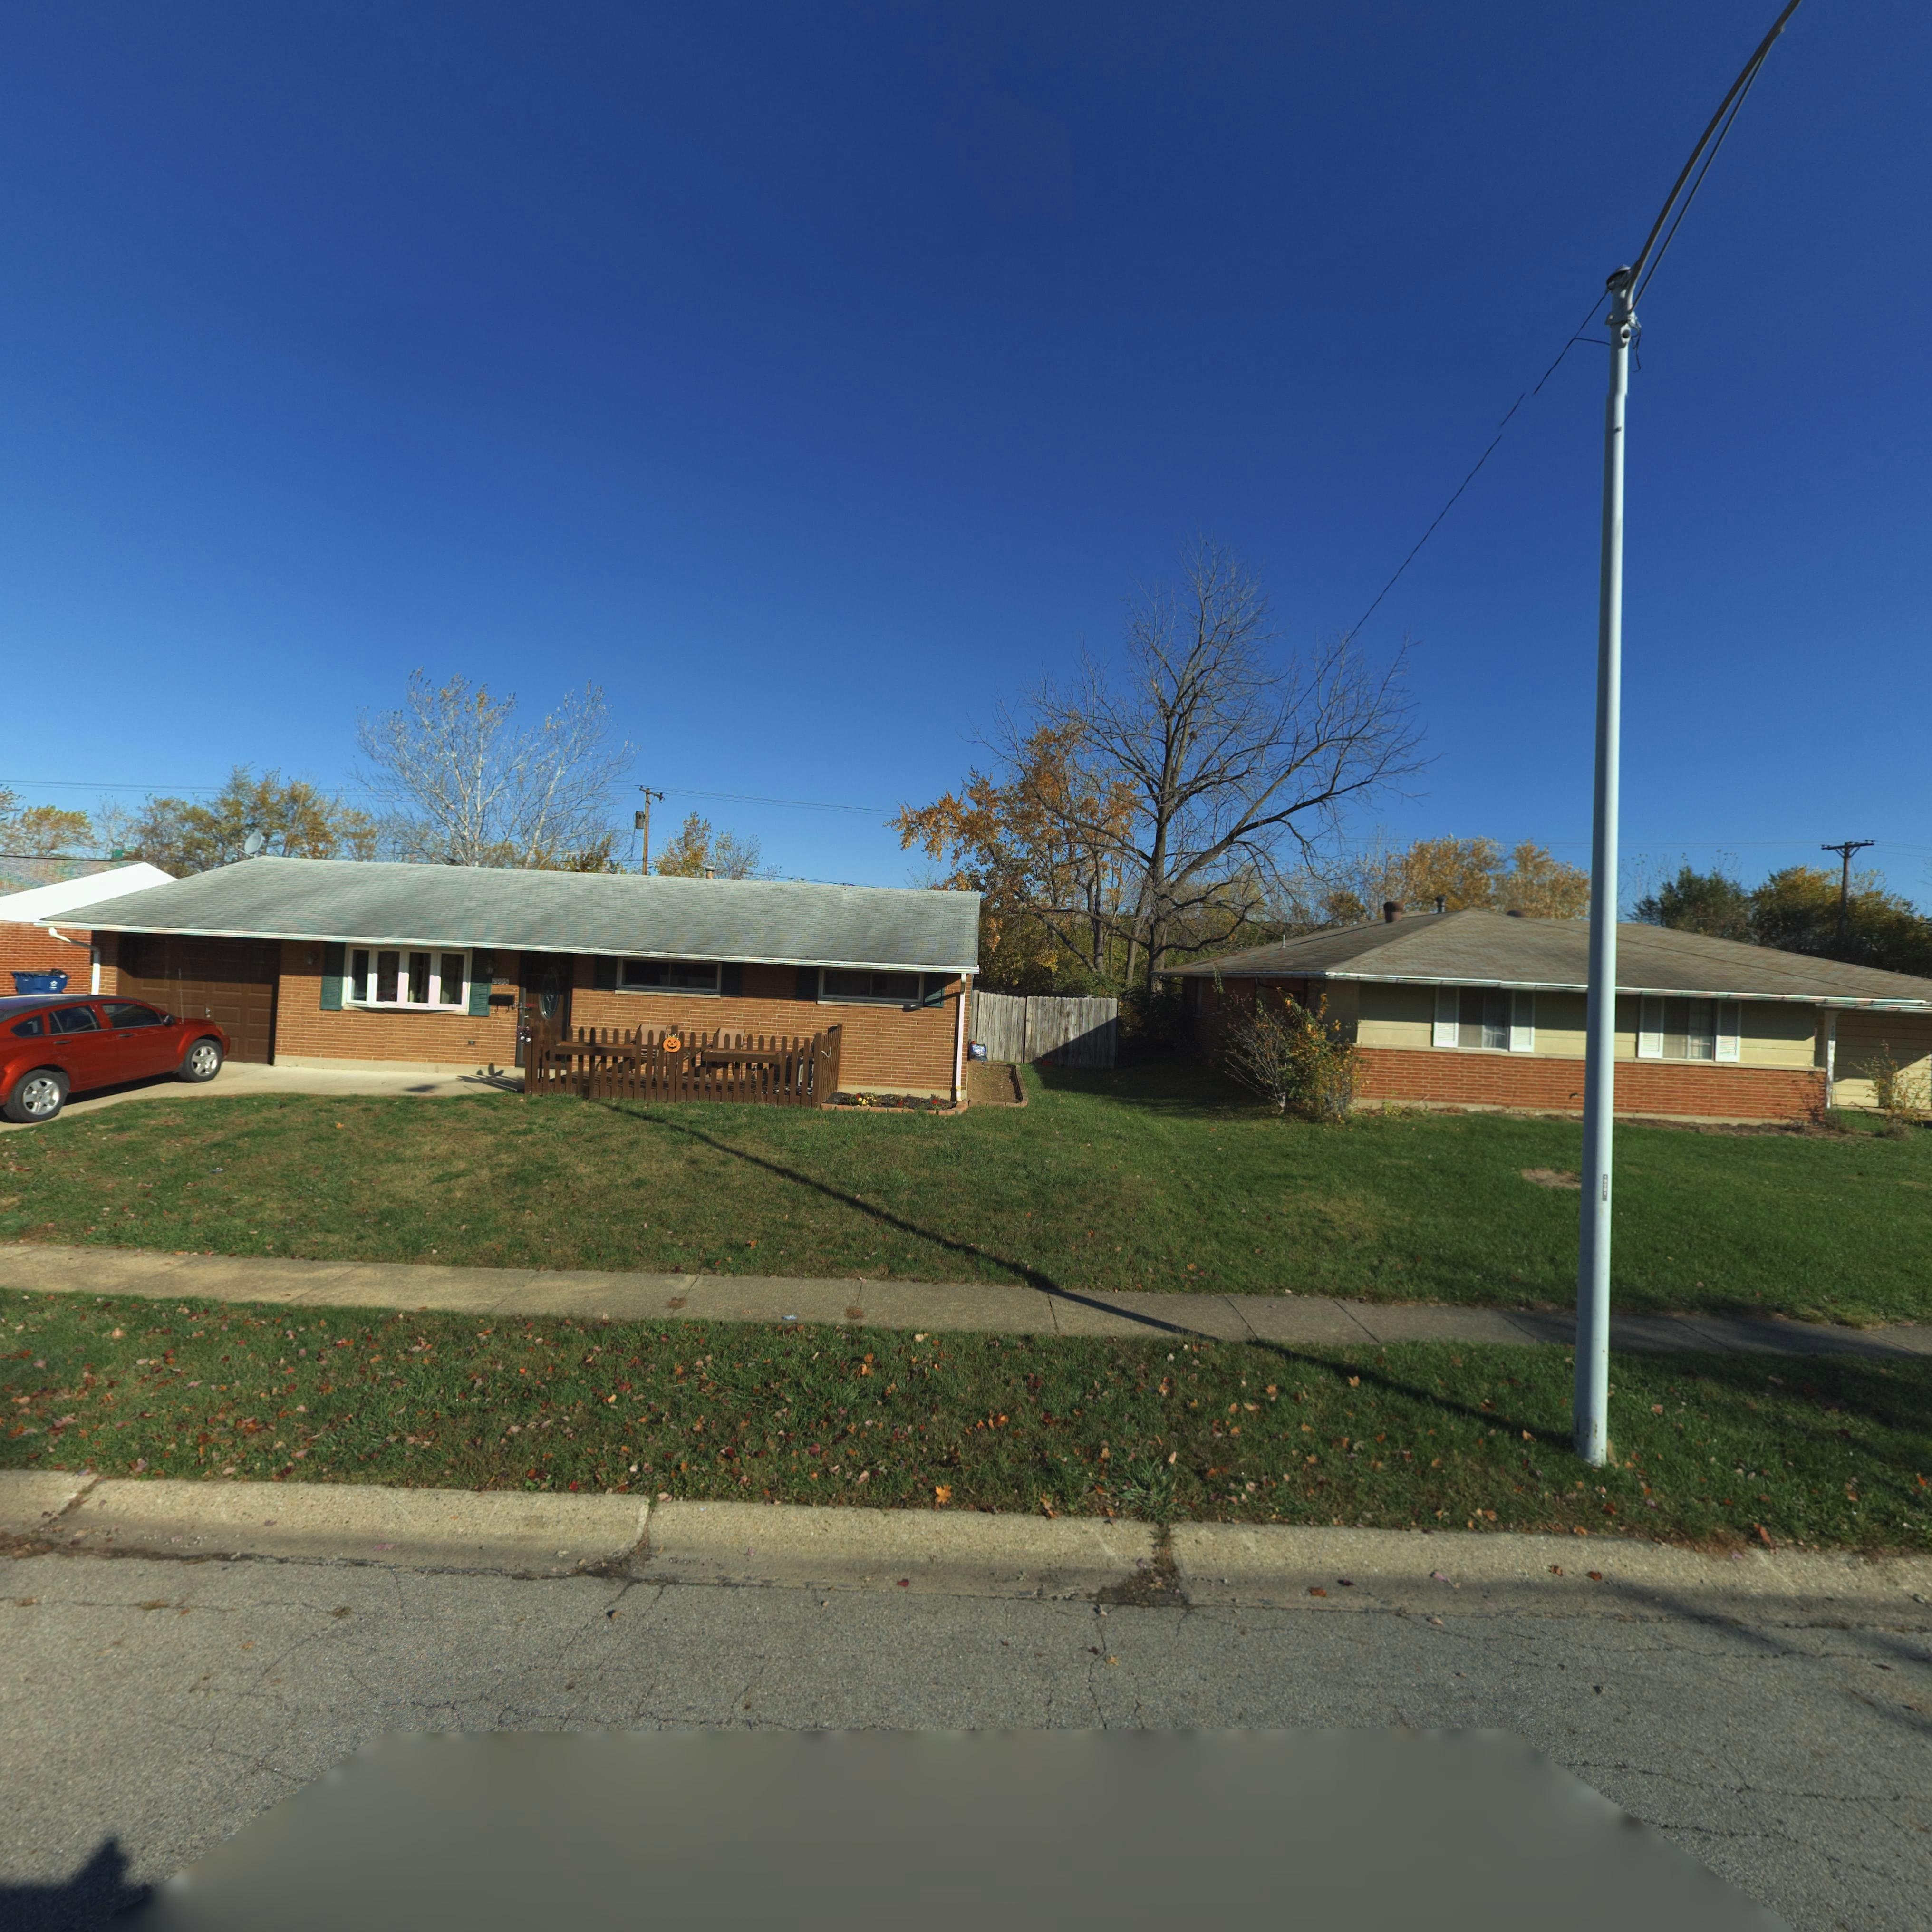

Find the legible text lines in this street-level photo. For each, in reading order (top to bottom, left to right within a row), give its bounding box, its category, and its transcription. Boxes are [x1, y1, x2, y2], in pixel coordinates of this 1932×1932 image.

[492, 977, 510, 985] StreetNumber: 7995